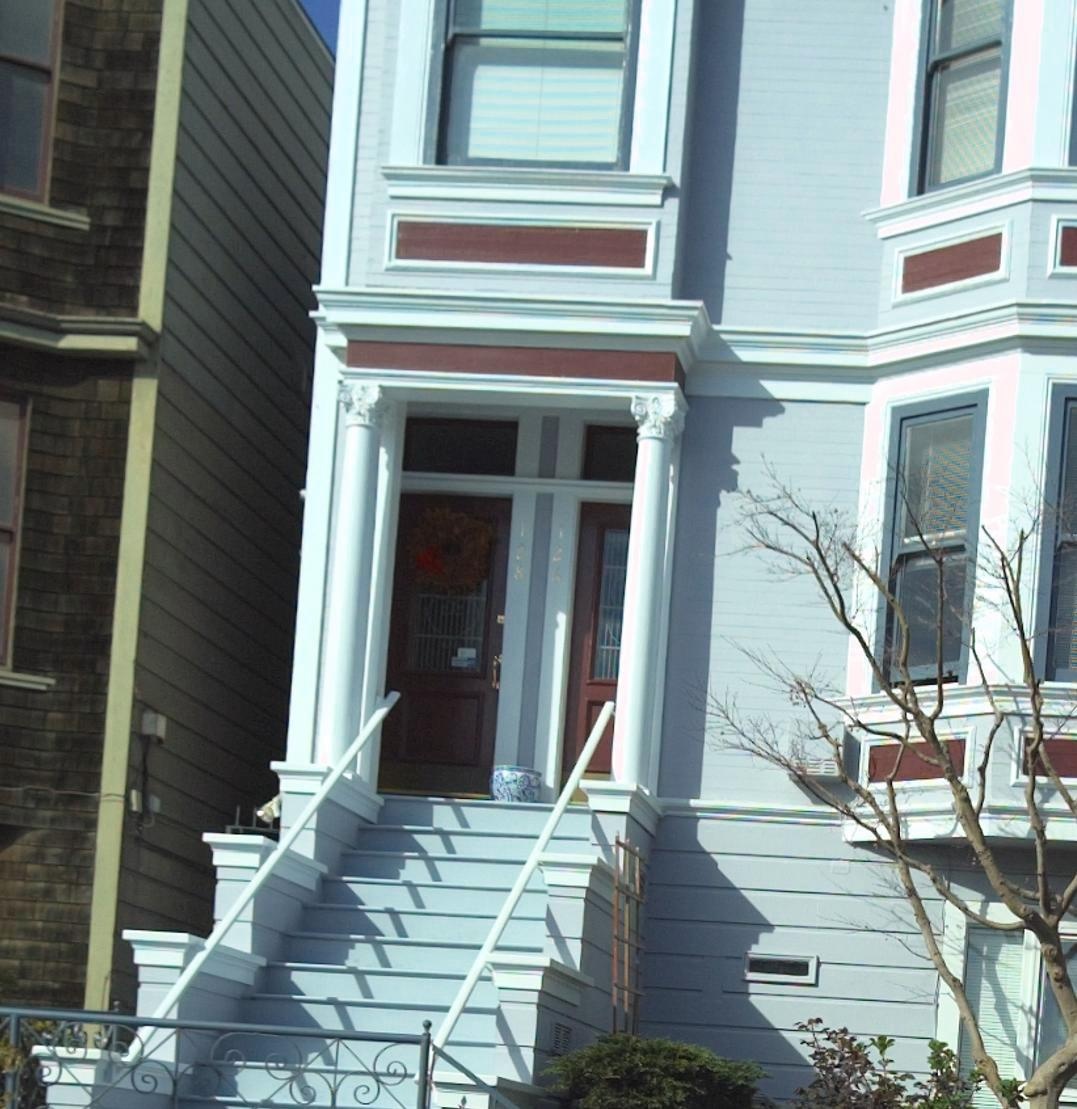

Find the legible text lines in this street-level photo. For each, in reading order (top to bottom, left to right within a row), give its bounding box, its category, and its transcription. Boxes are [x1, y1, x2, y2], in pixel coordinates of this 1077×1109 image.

[511, 517, 528, 583] StreetNumber: 148
[550, 523, 566, 587] StreetNumber: 126